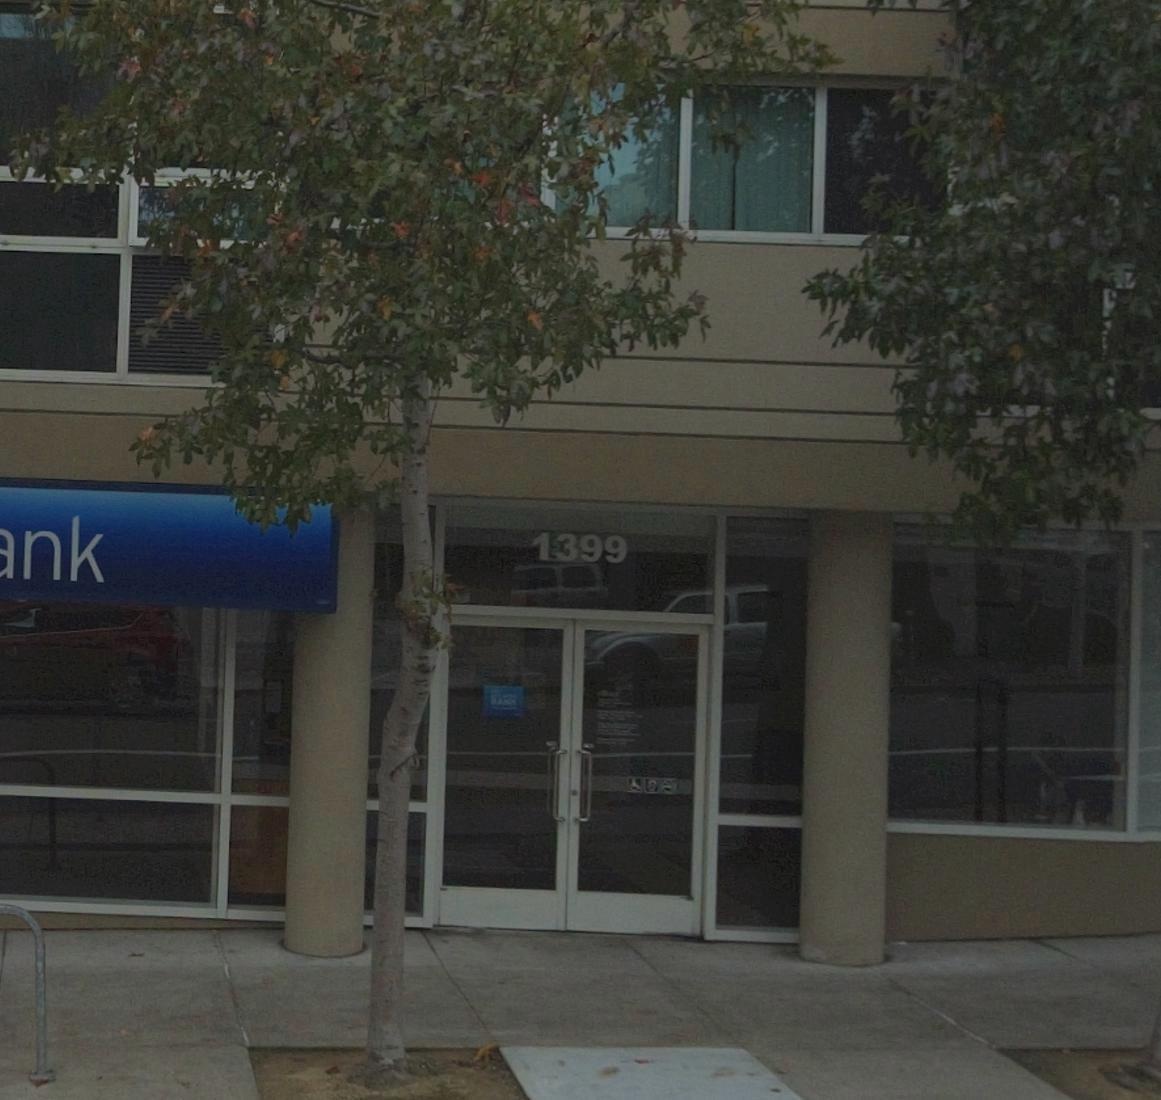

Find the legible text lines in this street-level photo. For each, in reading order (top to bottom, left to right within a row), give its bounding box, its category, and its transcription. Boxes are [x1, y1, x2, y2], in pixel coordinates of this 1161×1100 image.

[22, 513, 106, 584] None: nk
[530, 531, 629, 565] StreetNumber: 1399